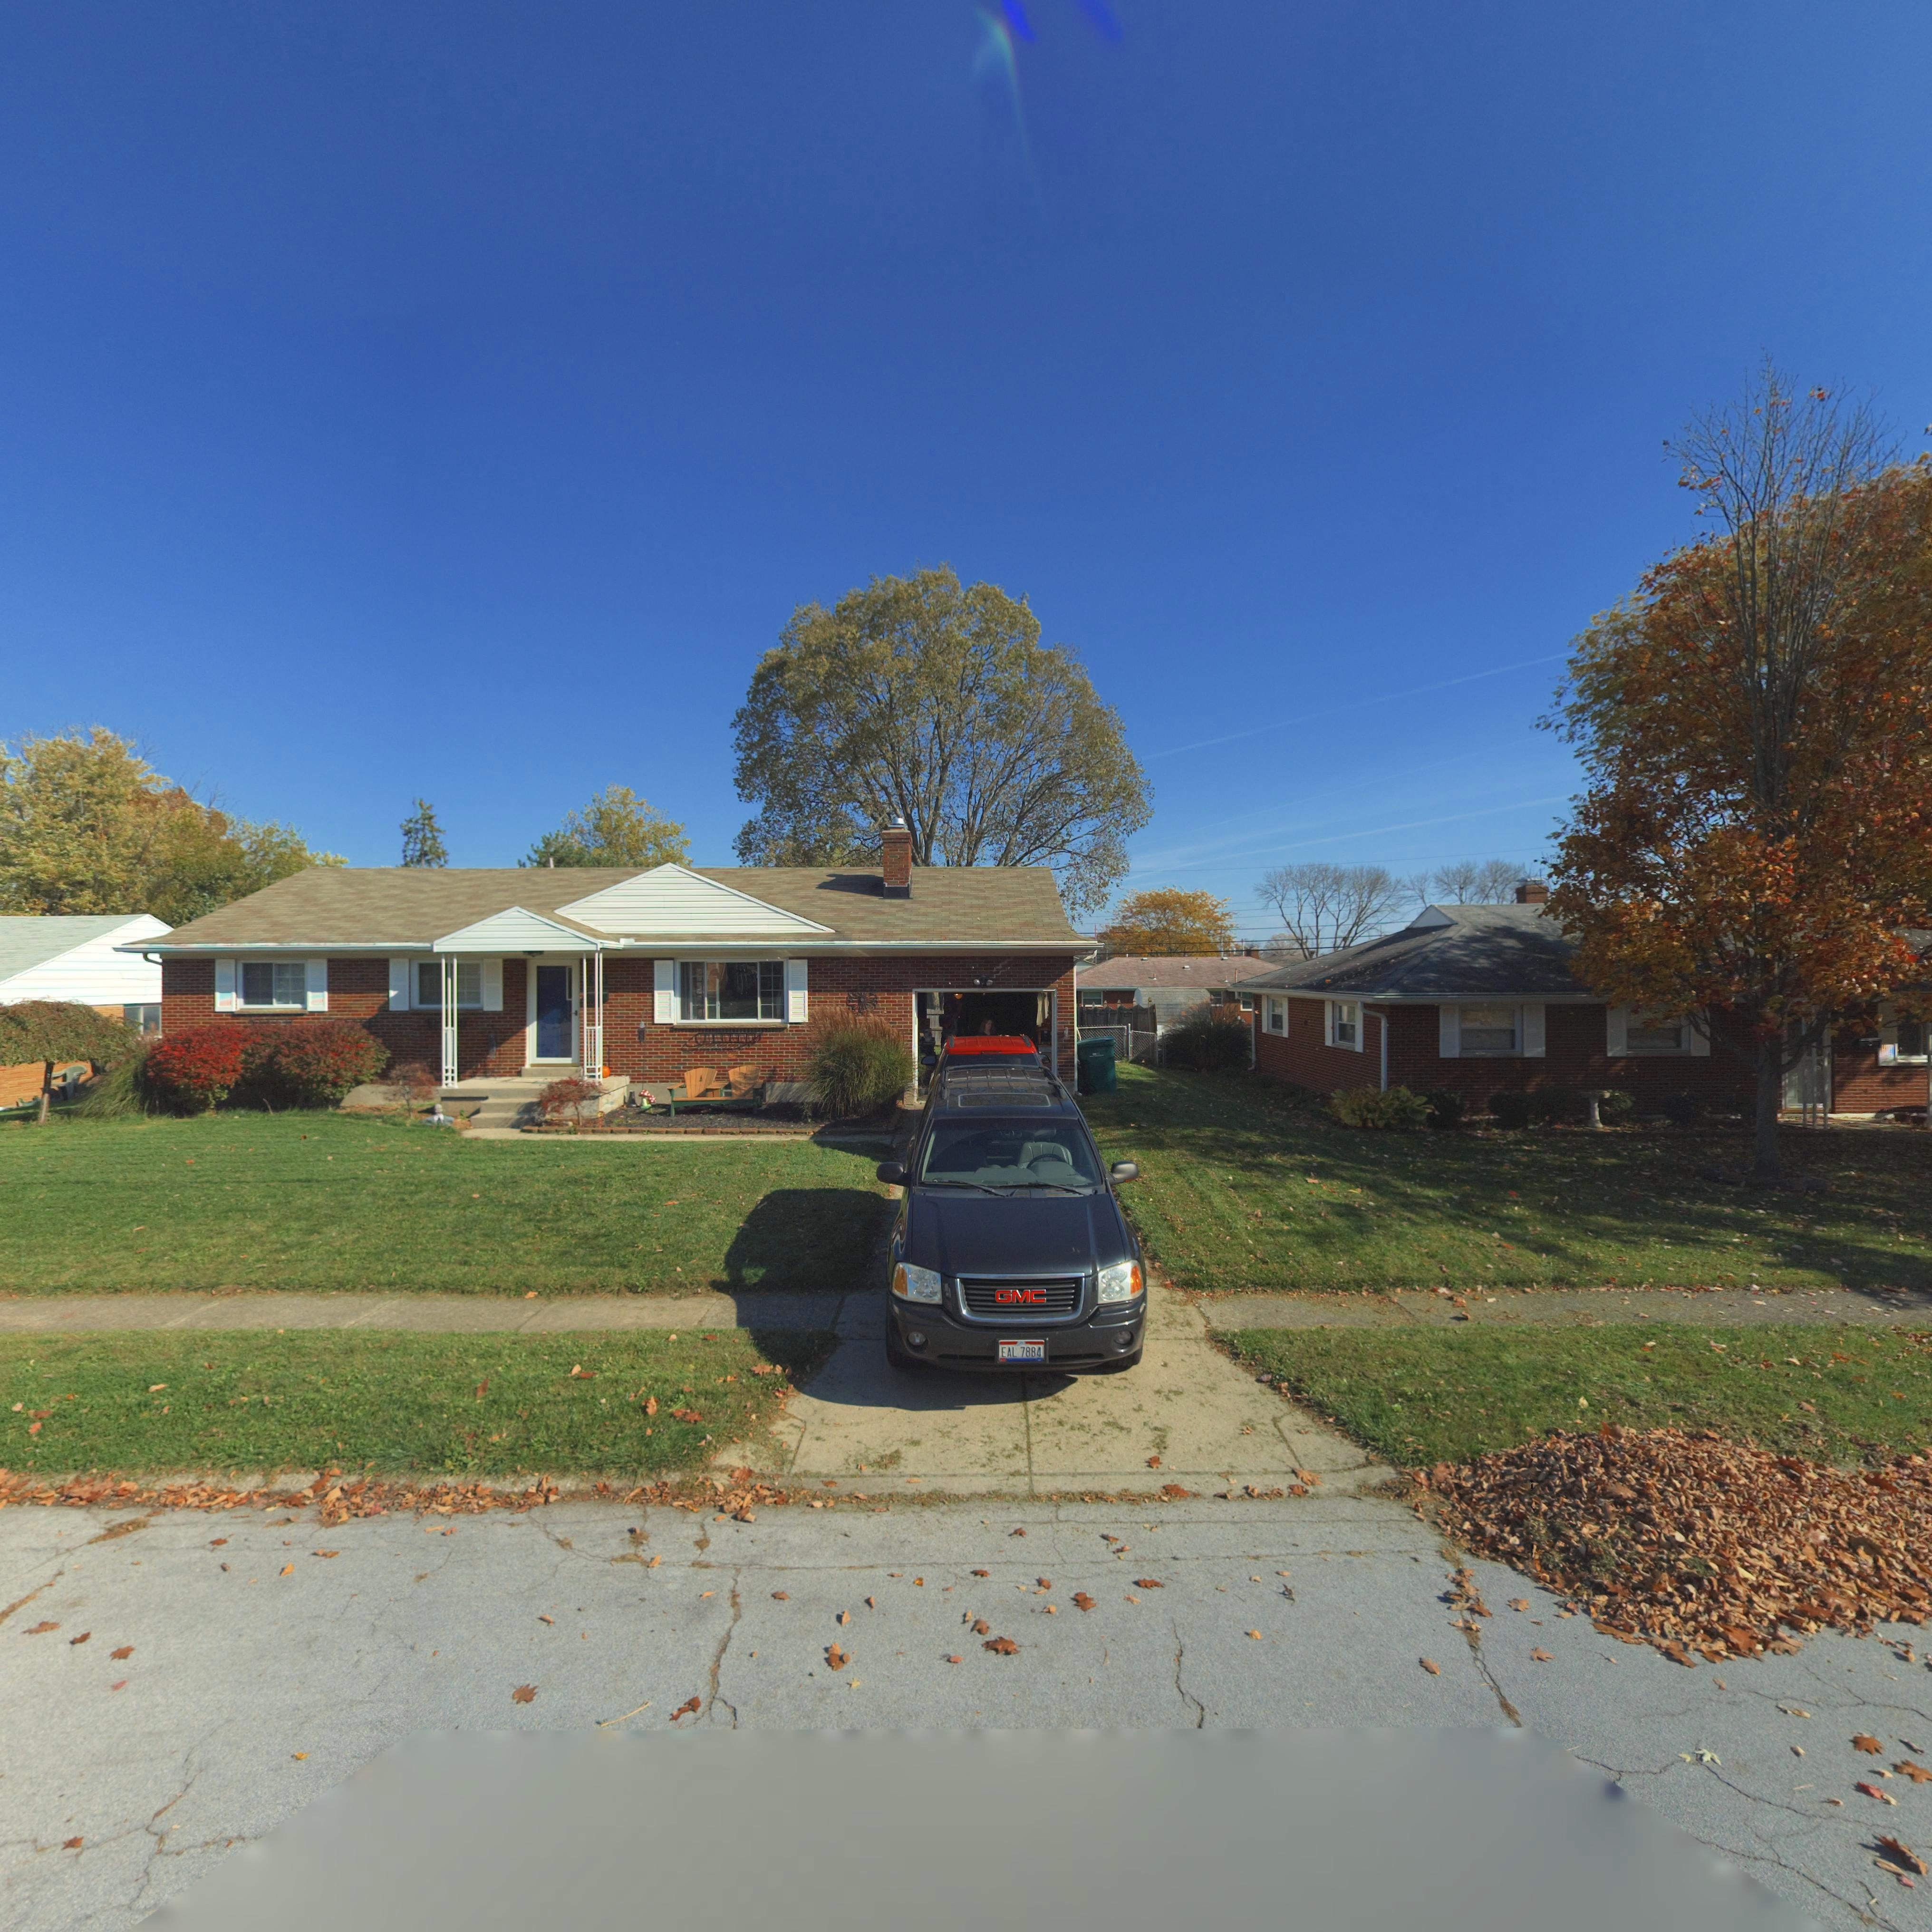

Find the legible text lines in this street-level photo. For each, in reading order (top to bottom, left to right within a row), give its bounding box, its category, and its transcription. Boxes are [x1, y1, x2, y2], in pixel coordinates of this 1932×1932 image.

[995, 1288, 1046, 1304] None: GMC
[1000, 1346, 1042, 1358] None: EAL 7884